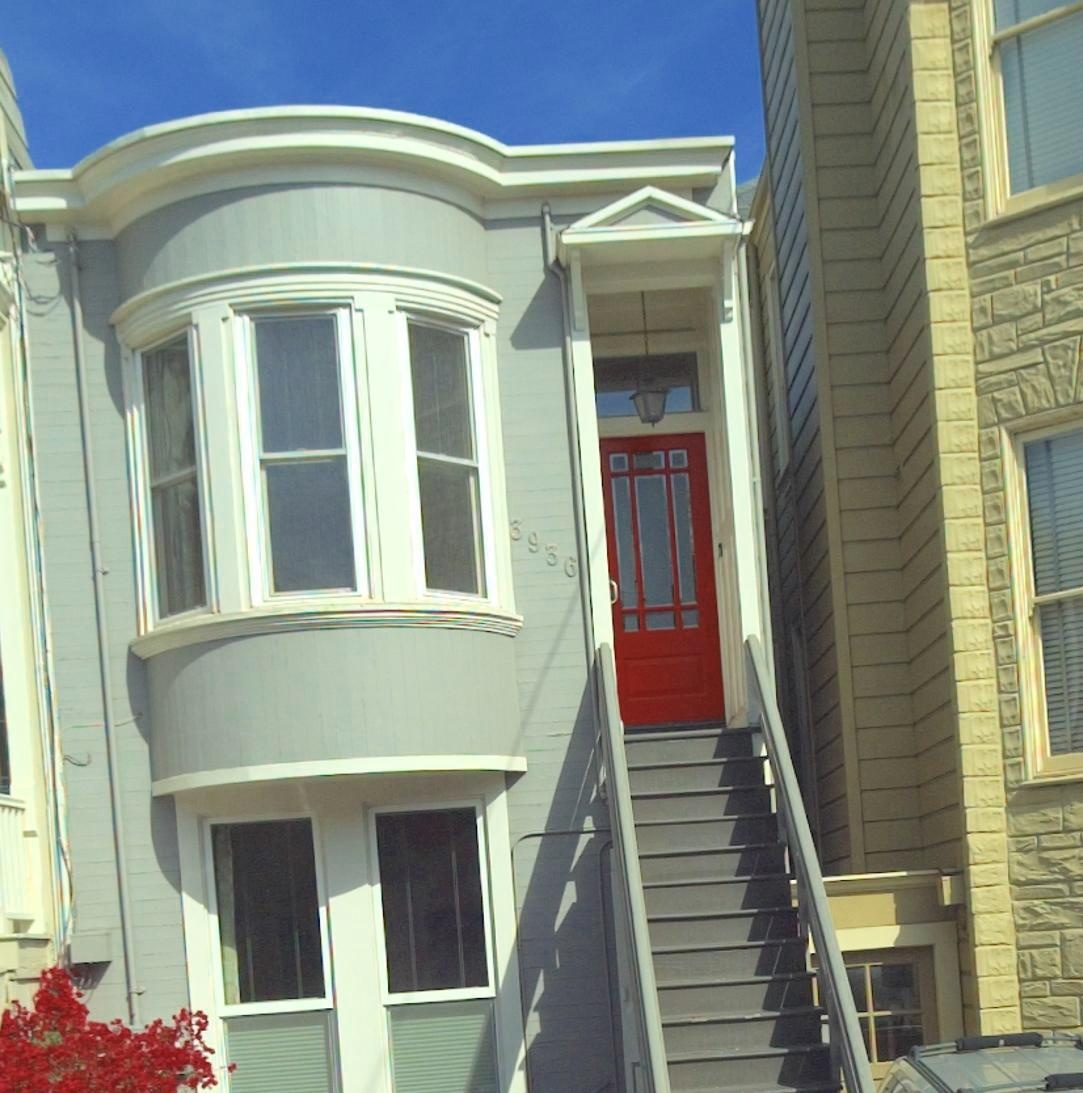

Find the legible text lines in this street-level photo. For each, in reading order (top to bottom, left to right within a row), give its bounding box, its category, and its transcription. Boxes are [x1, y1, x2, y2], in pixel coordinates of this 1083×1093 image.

[508, 509, 579, 583] StreetNumber: 3936